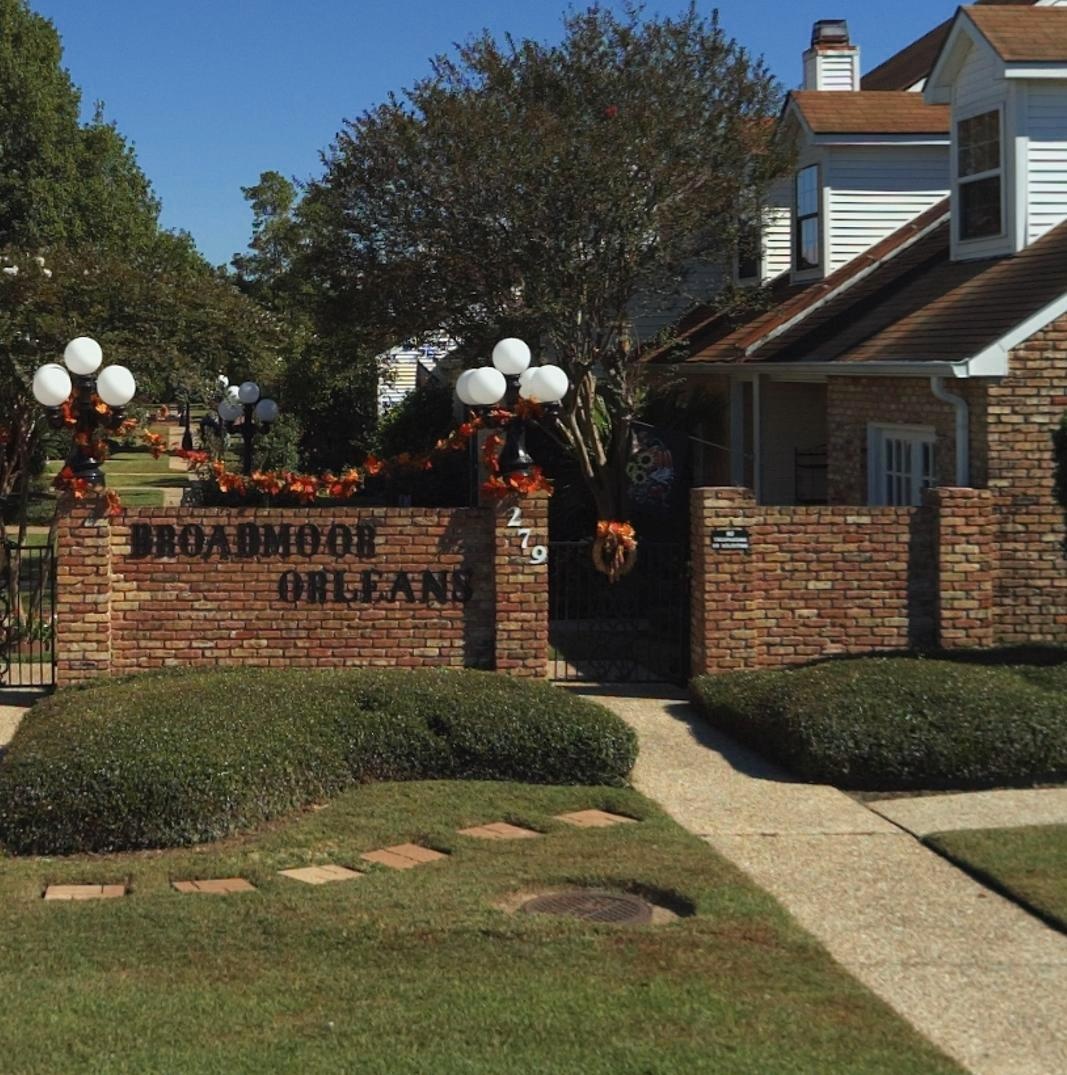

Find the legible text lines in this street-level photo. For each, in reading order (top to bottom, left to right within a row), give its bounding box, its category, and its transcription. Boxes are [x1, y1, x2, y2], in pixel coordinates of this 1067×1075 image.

[125, 519, 378, 562] BusinessName: BROADMOOR
[504, 505, 548, 566] StreetNumber: 279
[277, 565, 476, 604] BusinessName: ORLEANS